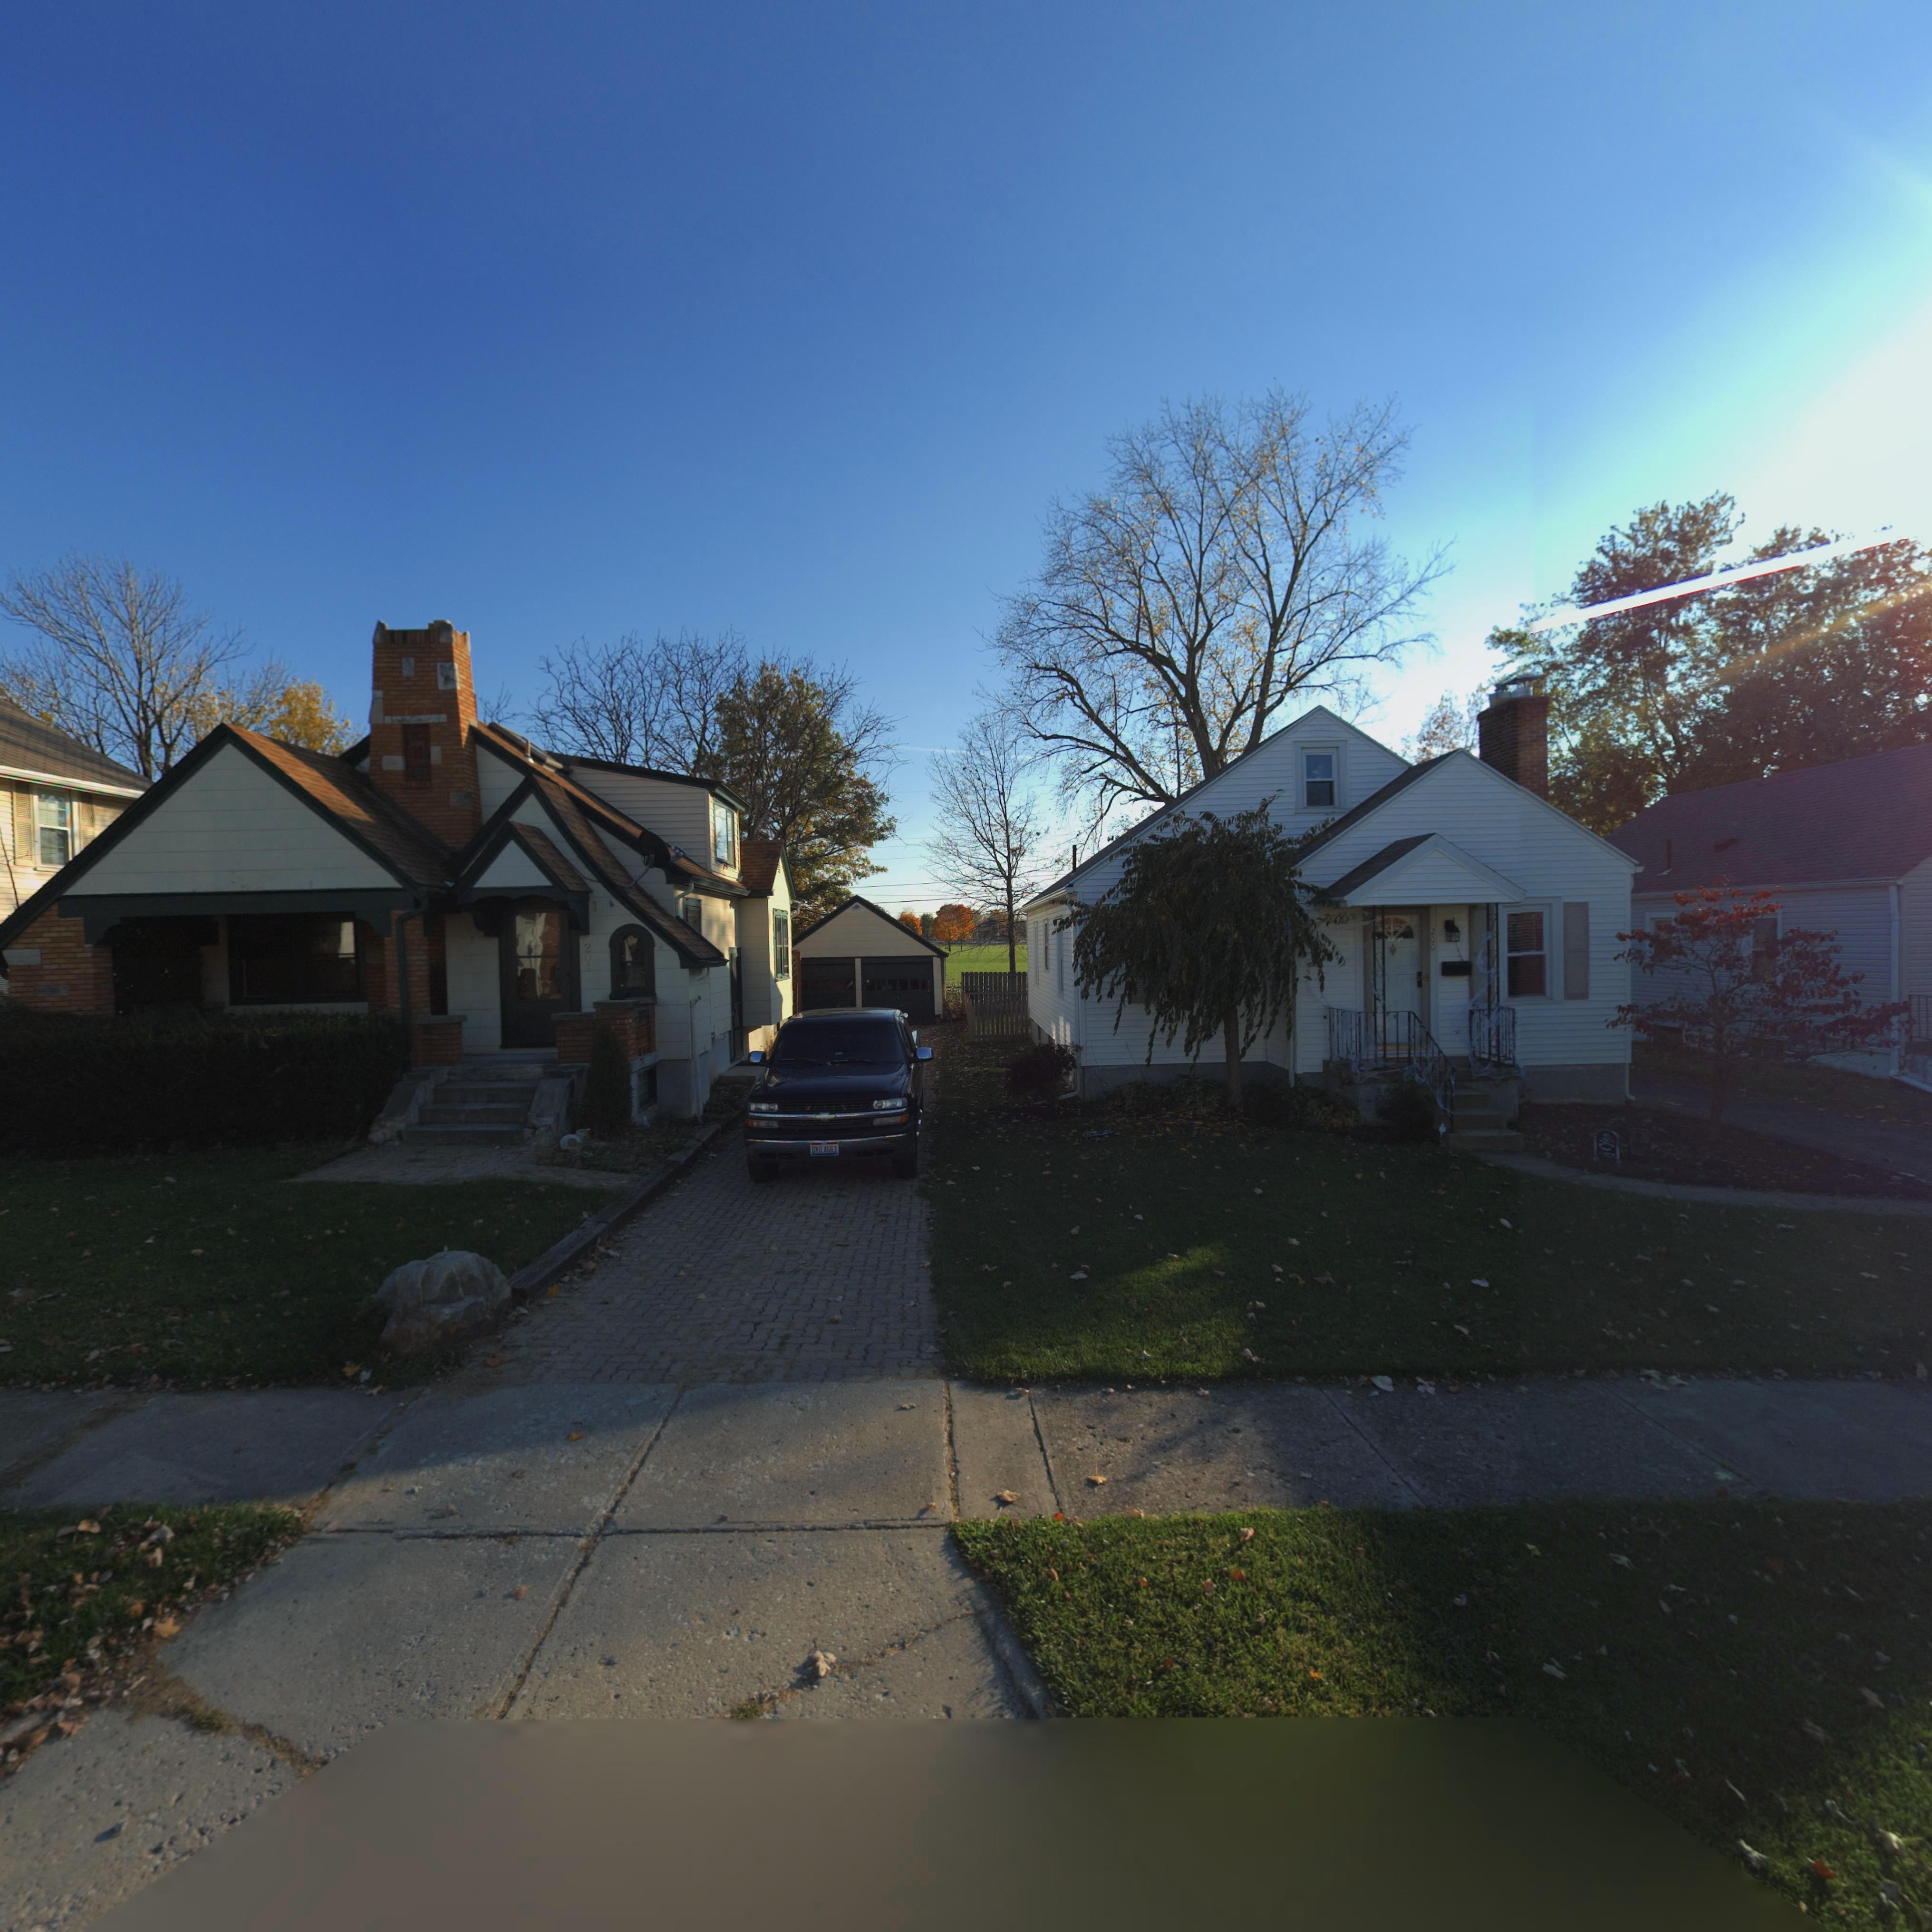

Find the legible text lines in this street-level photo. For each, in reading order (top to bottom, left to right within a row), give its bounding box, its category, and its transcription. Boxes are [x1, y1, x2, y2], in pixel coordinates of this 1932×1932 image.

[1429, 926, 1437, 953] StreetNumber: 200
[583, 942, 593, 973] StreetNumber: 204